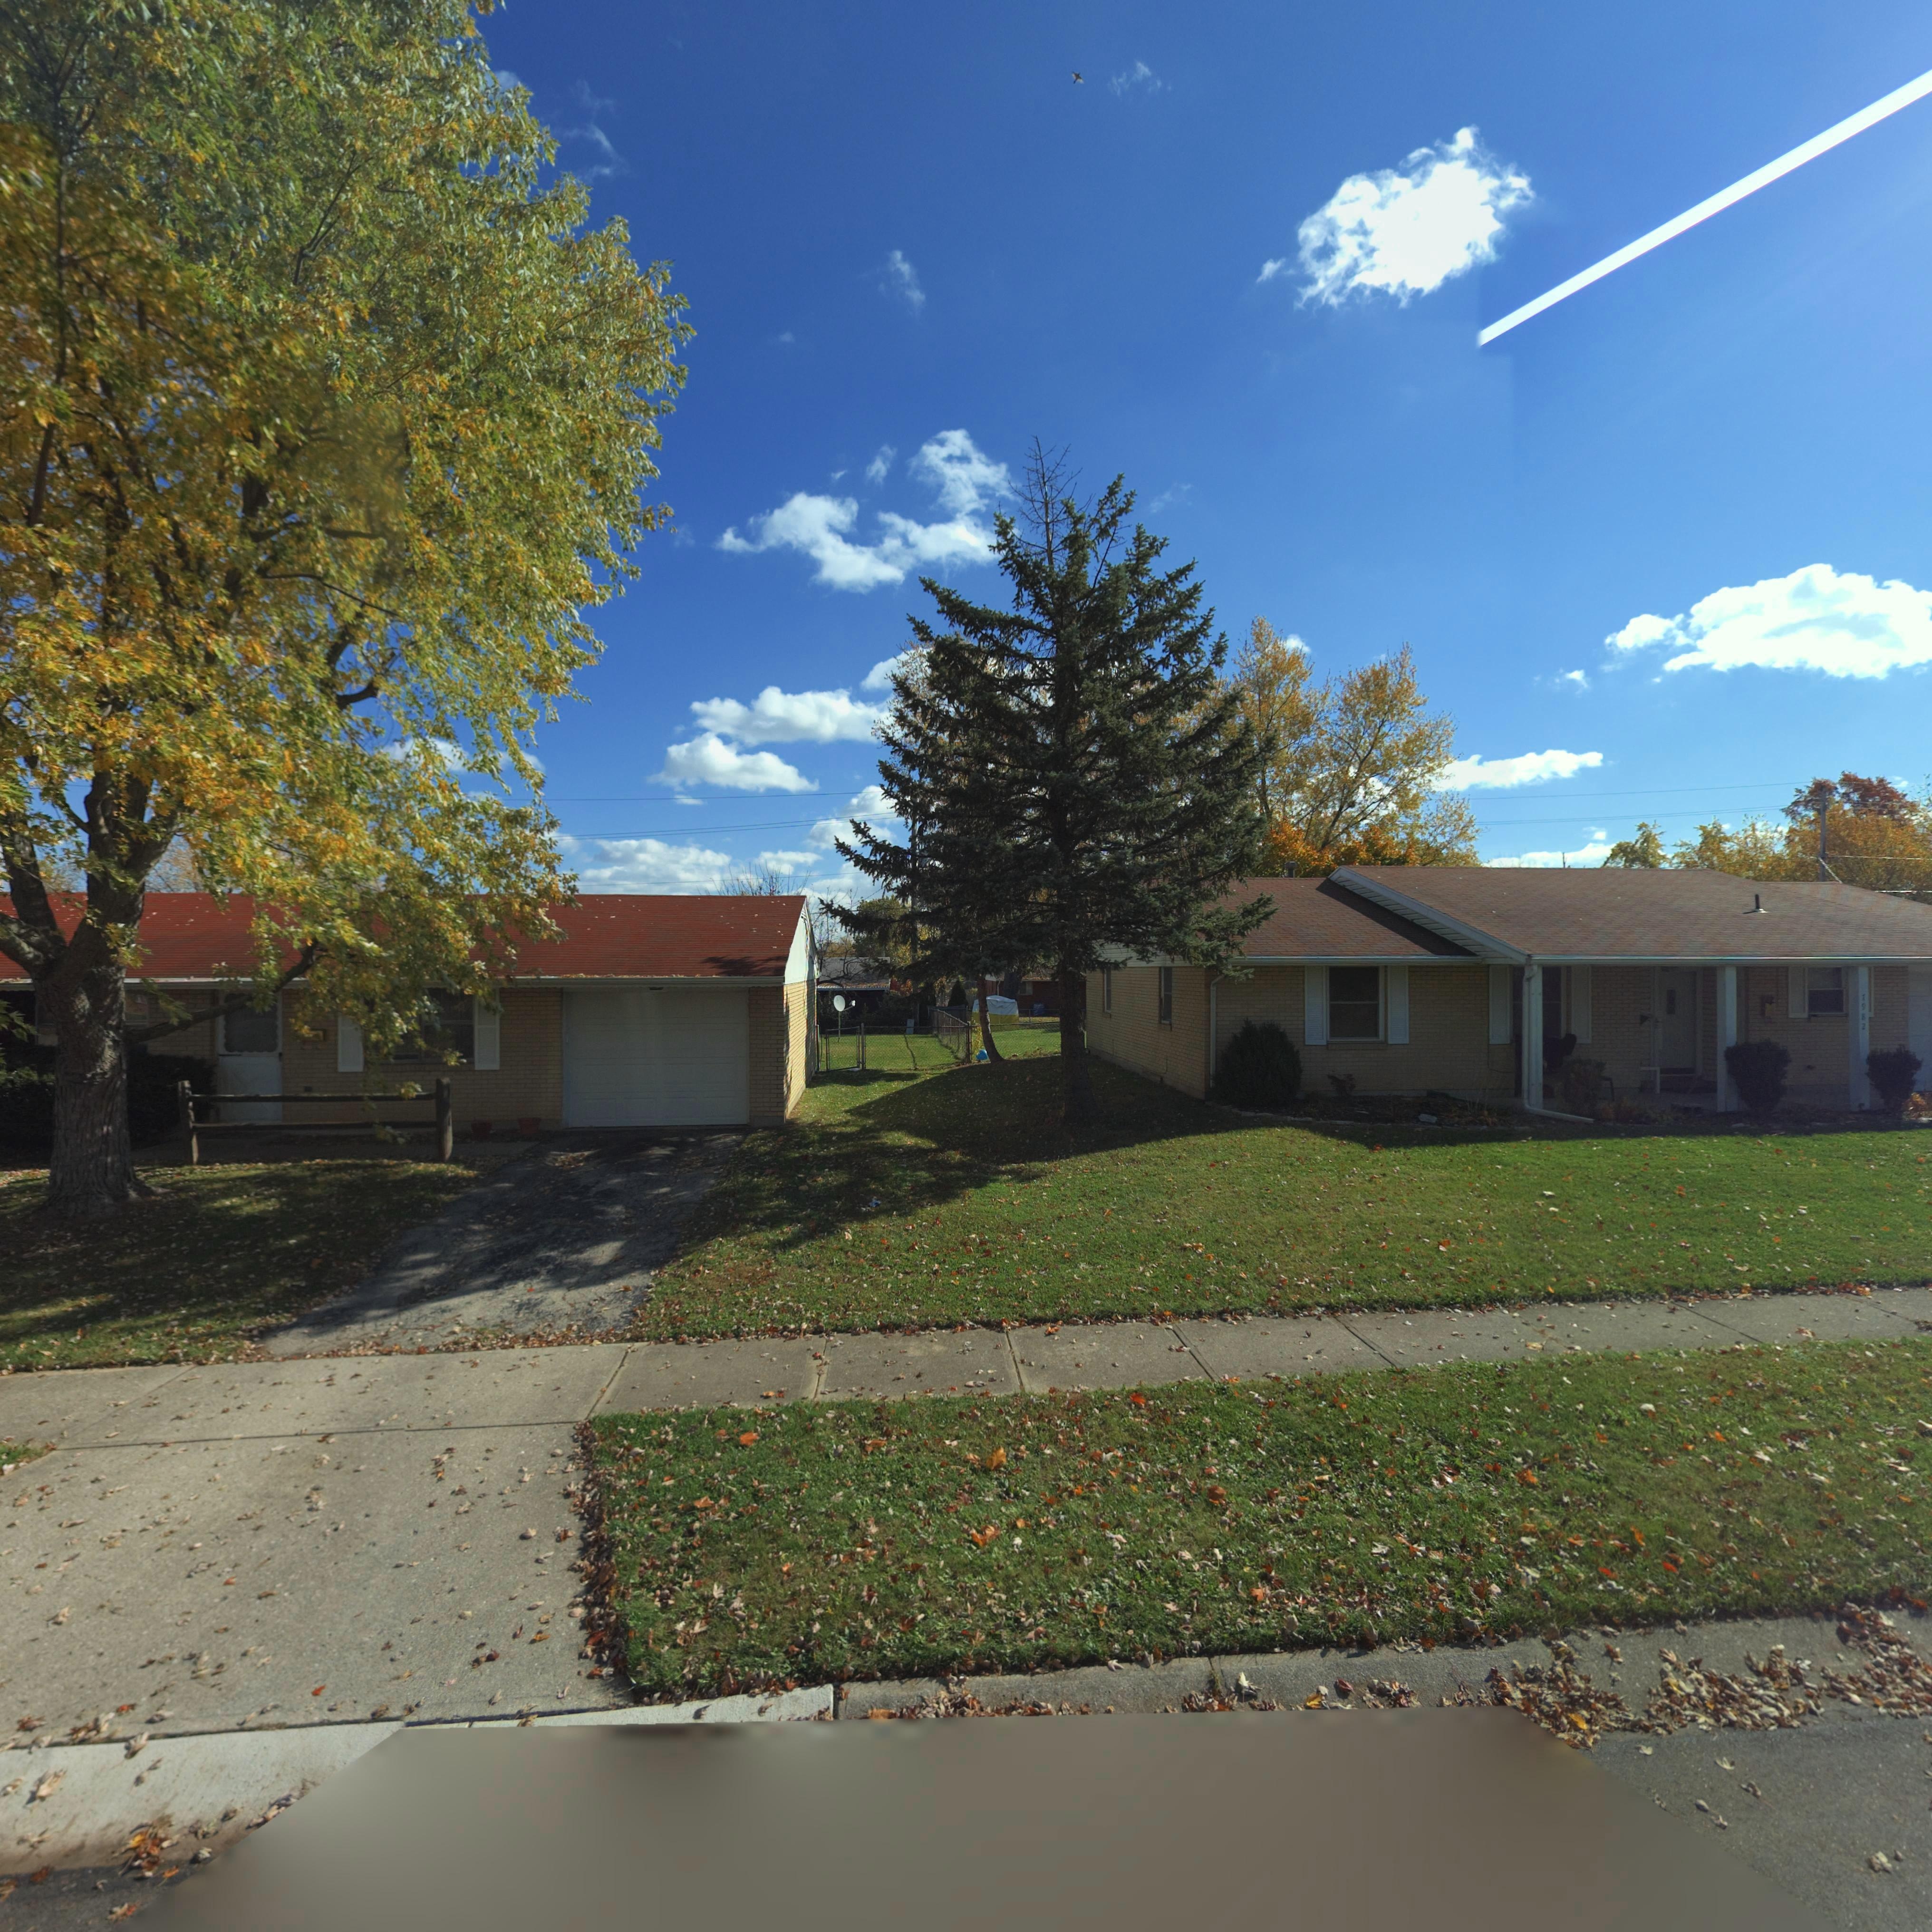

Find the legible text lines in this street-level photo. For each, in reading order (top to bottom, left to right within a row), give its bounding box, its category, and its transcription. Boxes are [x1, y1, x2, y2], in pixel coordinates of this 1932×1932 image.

[1860, 992, 1868, 1032] StreetNumber: 7982